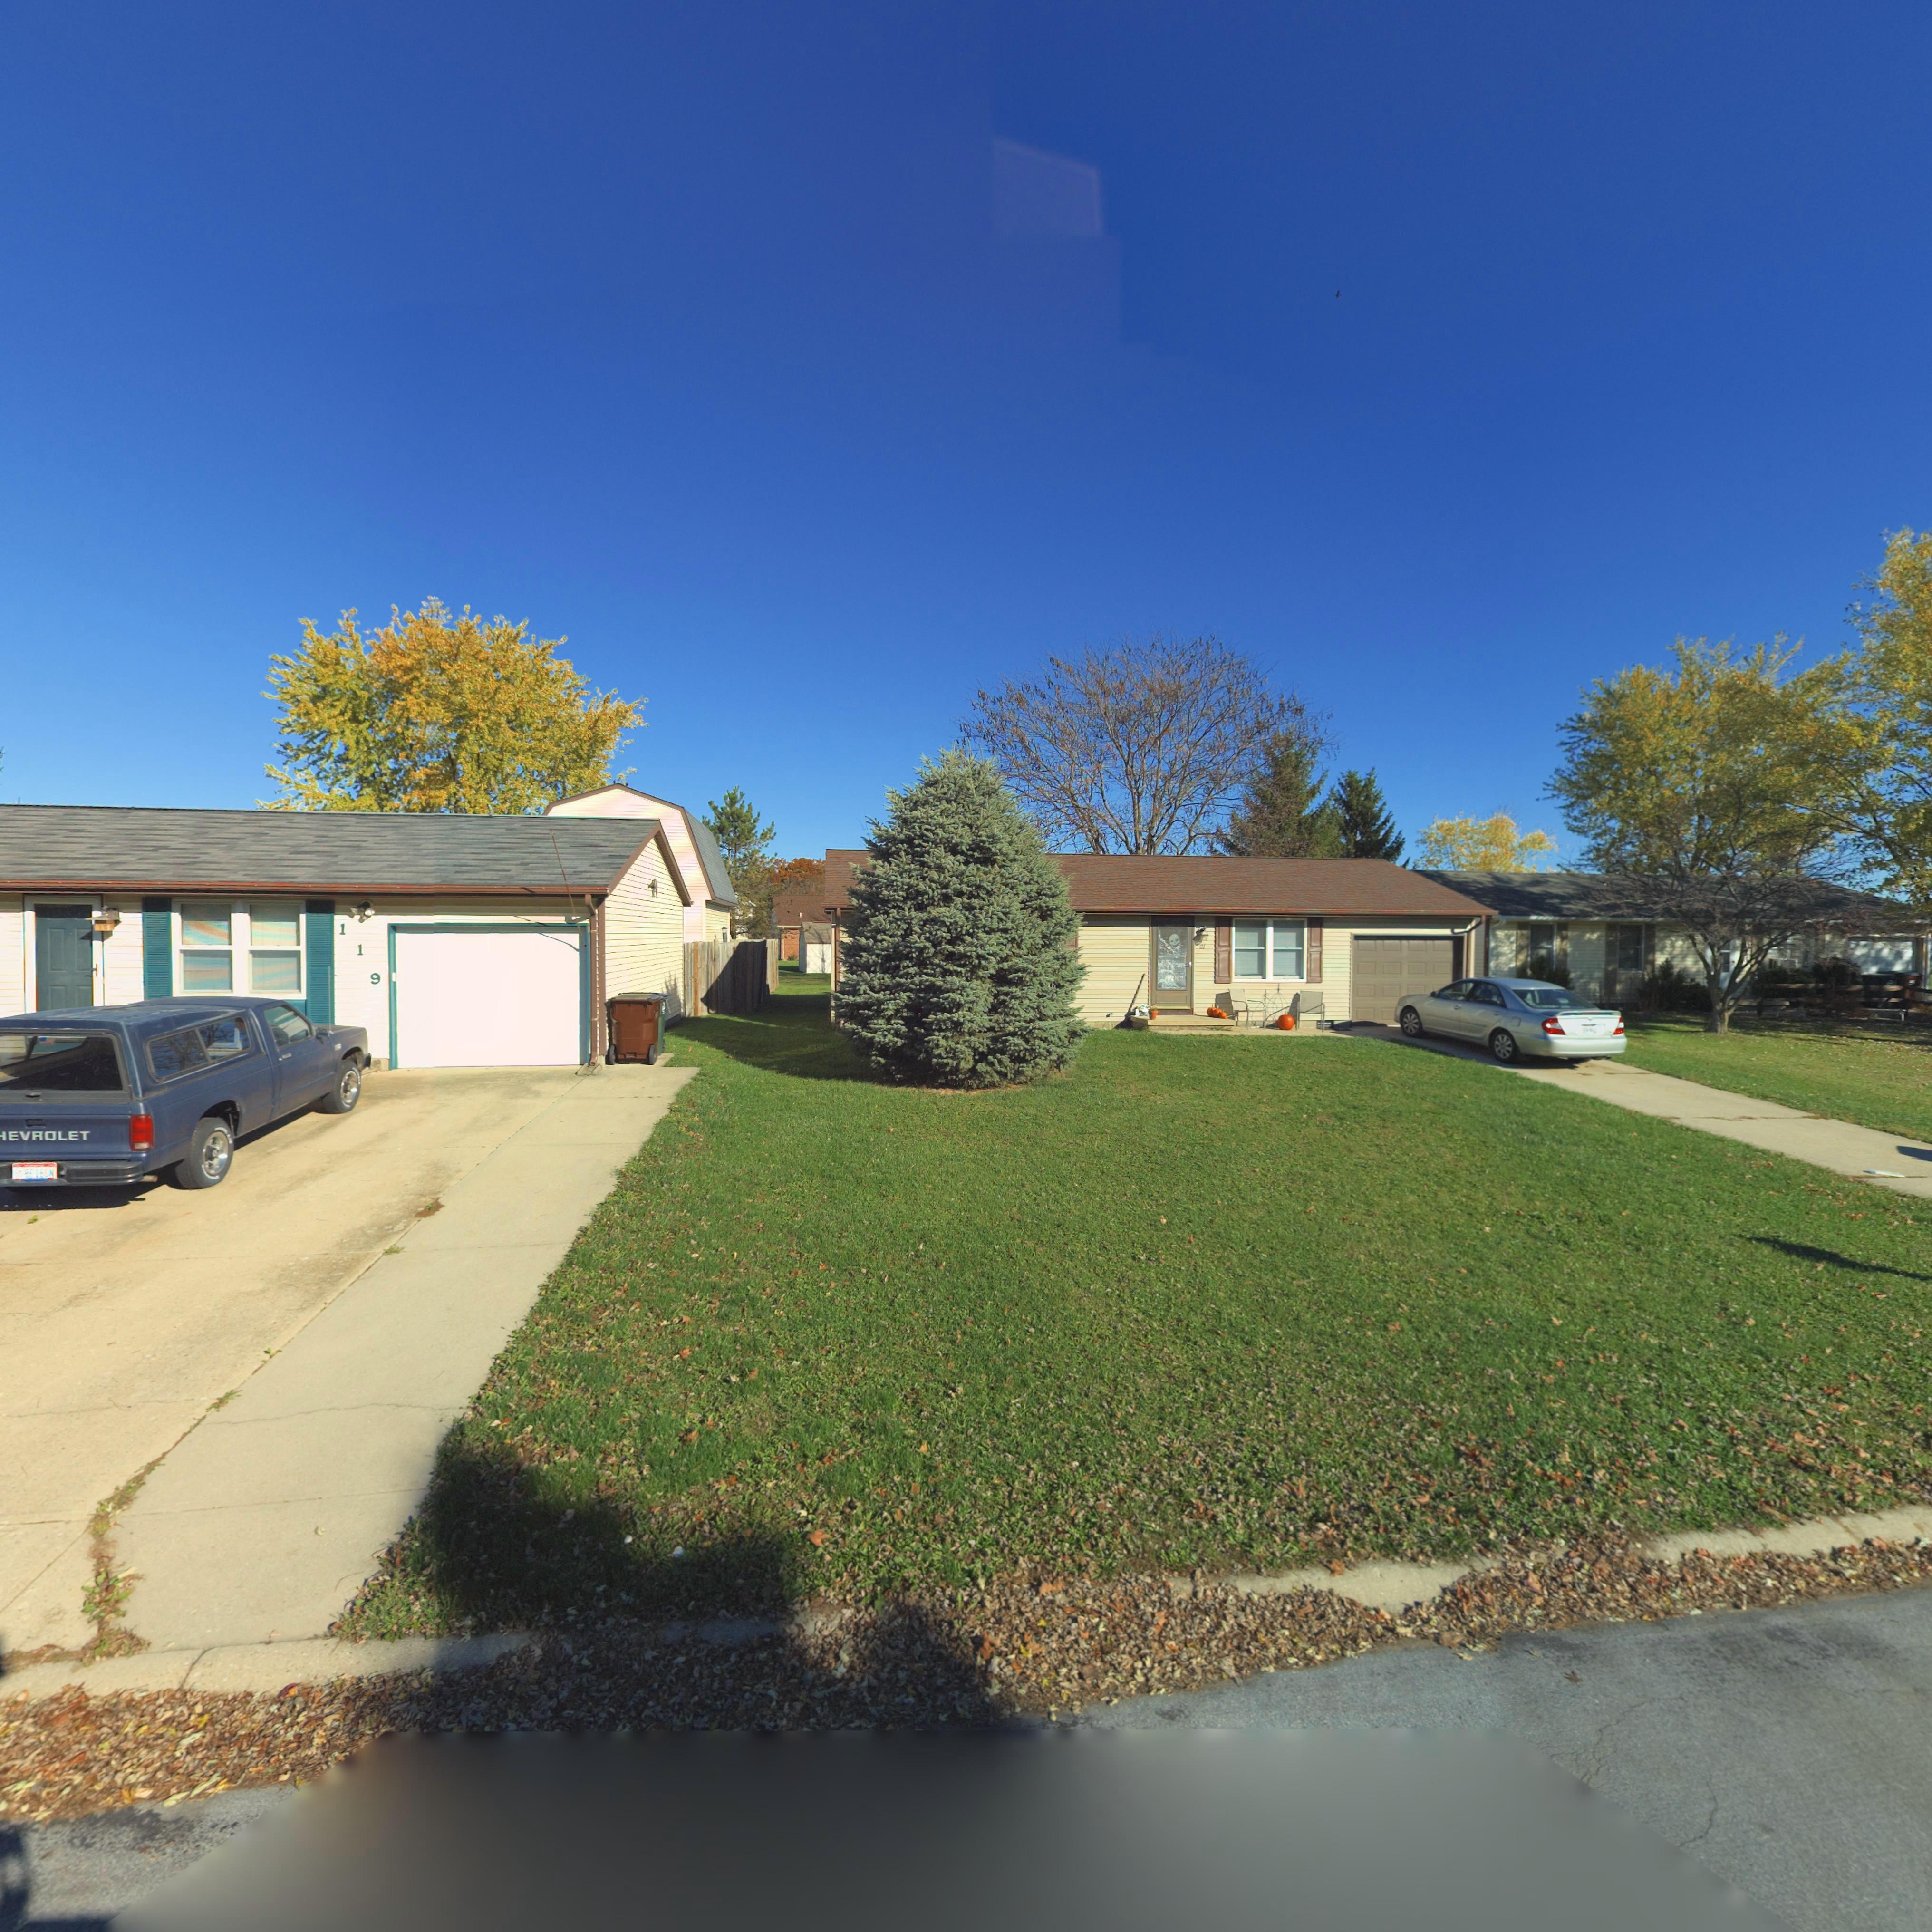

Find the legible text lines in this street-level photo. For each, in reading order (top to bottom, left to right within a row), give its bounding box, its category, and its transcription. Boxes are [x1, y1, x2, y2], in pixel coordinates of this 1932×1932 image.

[339, 922, 381, 985] StreetNumber: 119